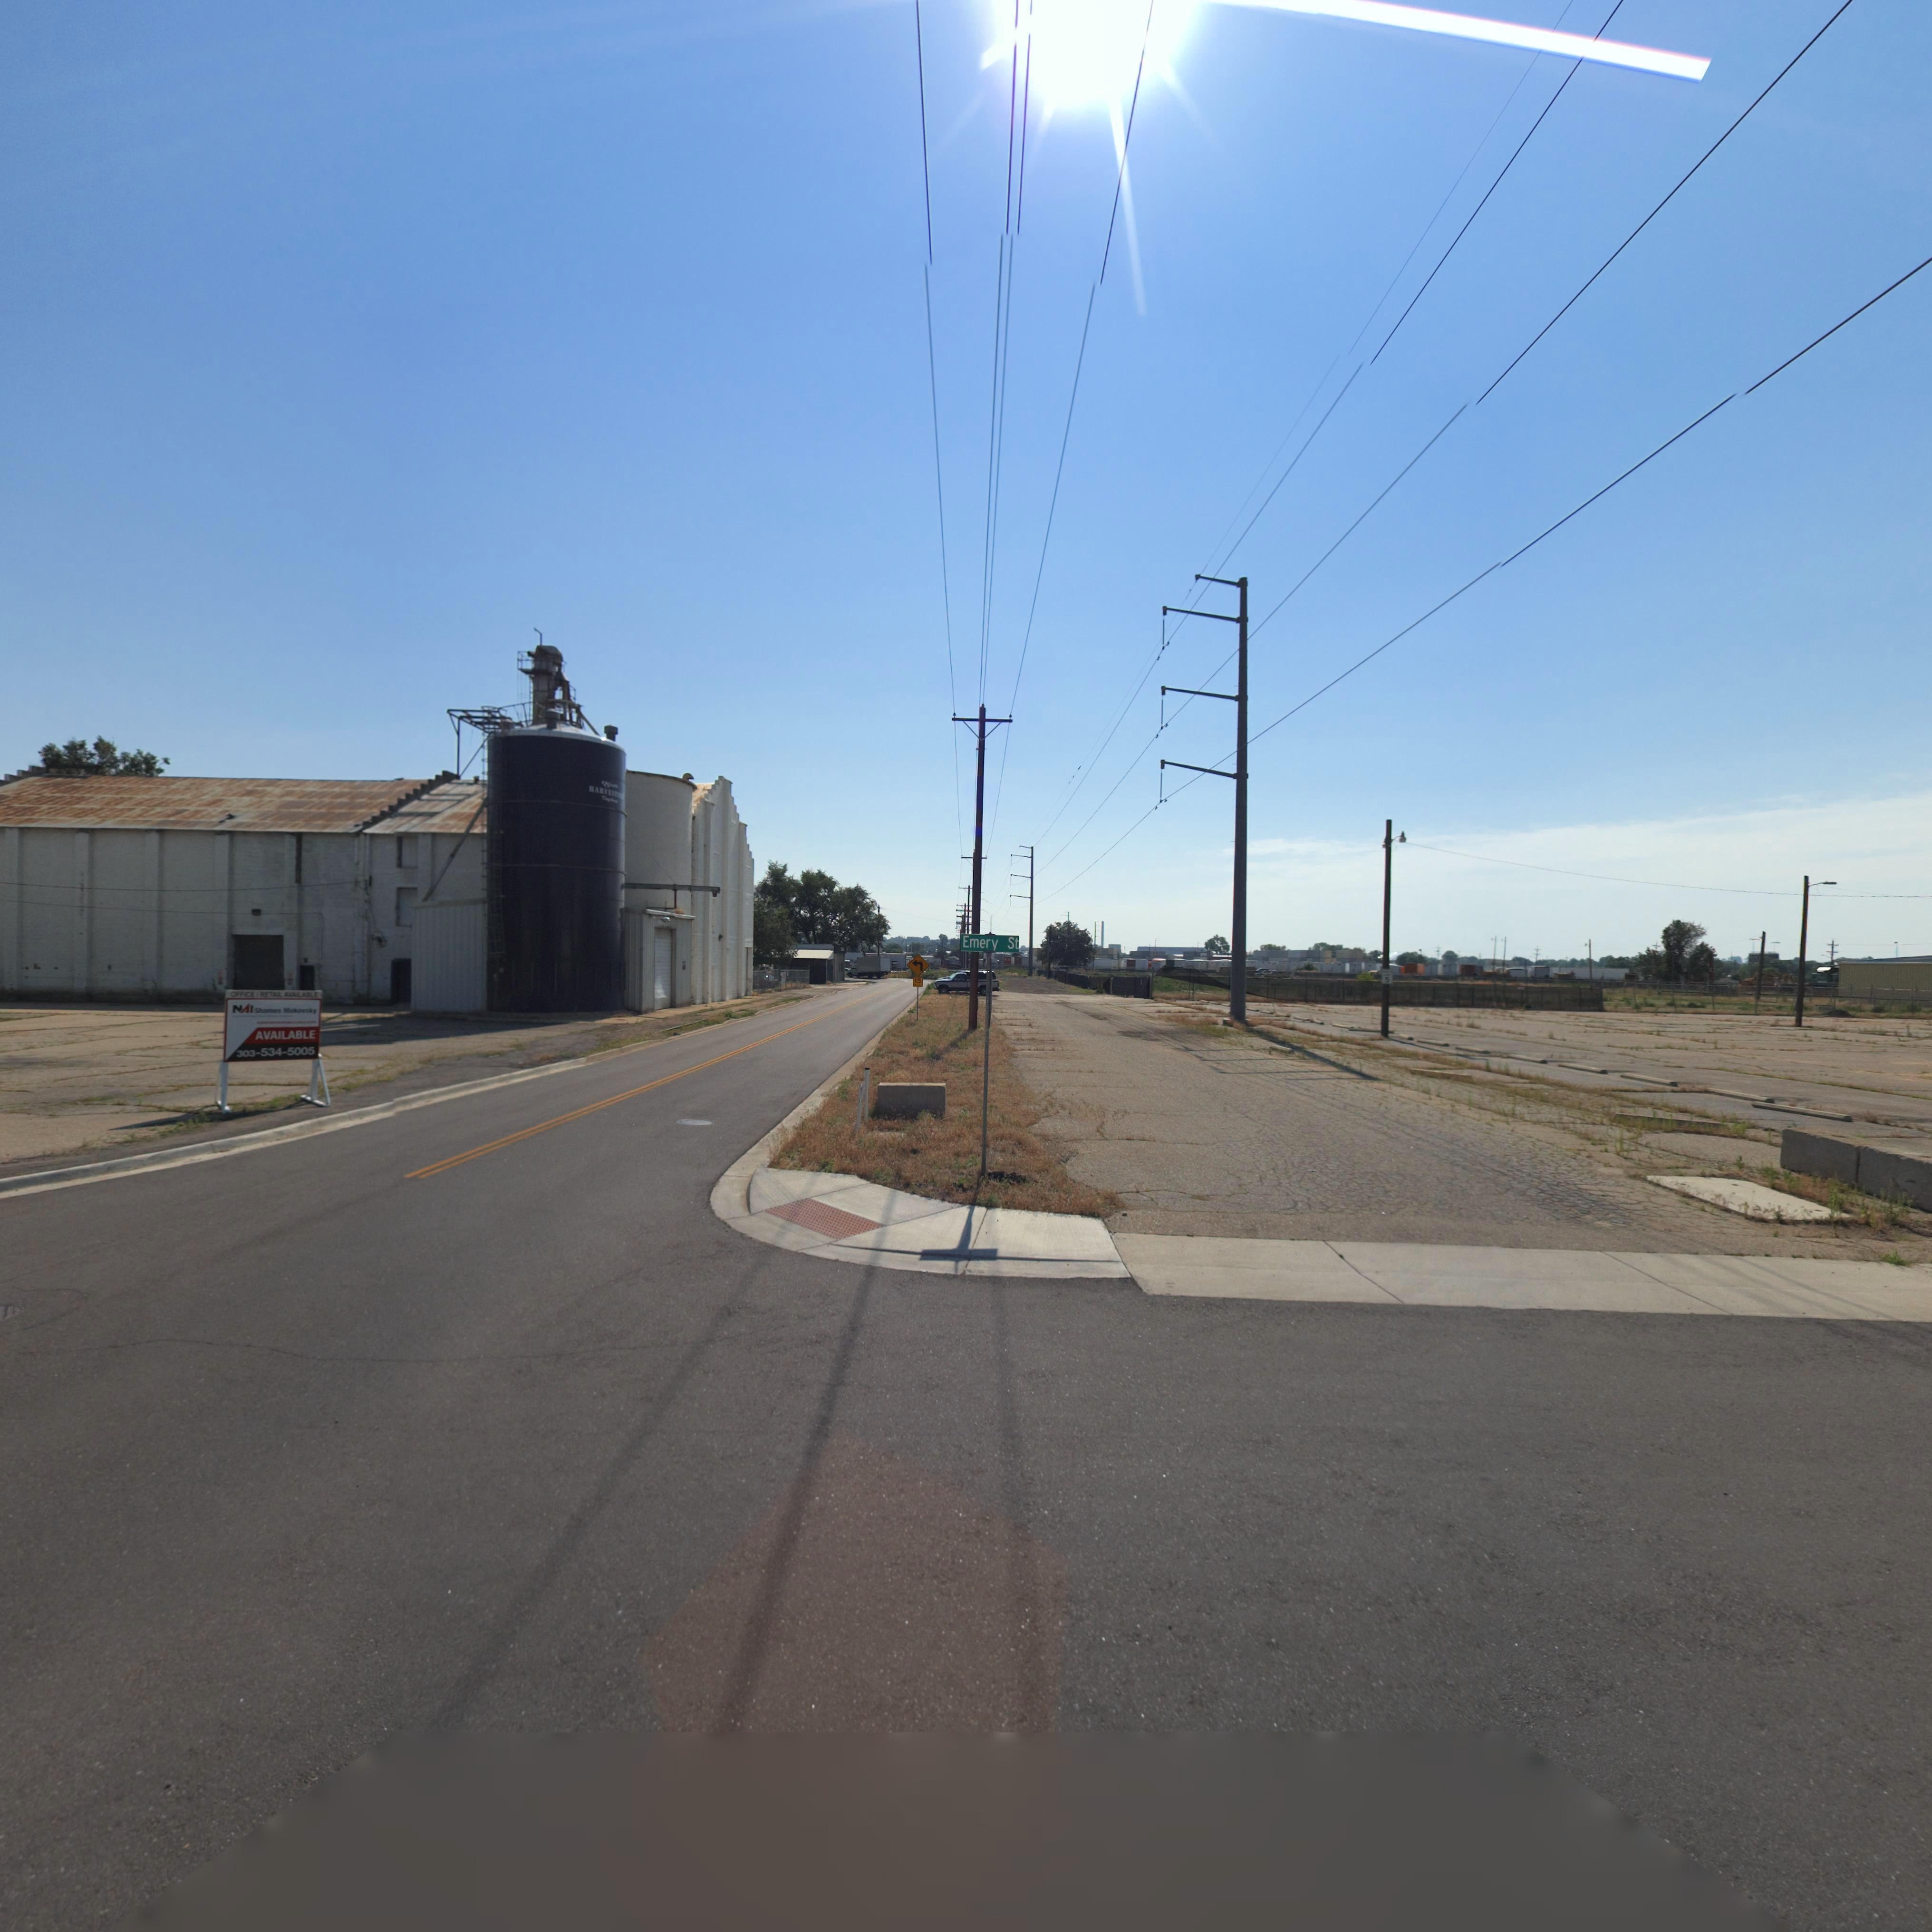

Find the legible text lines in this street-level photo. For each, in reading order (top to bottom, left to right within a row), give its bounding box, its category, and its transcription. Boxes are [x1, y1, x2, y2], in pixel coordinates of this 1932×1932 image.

[962, 935, 1019, 951] StreetName: Emery St